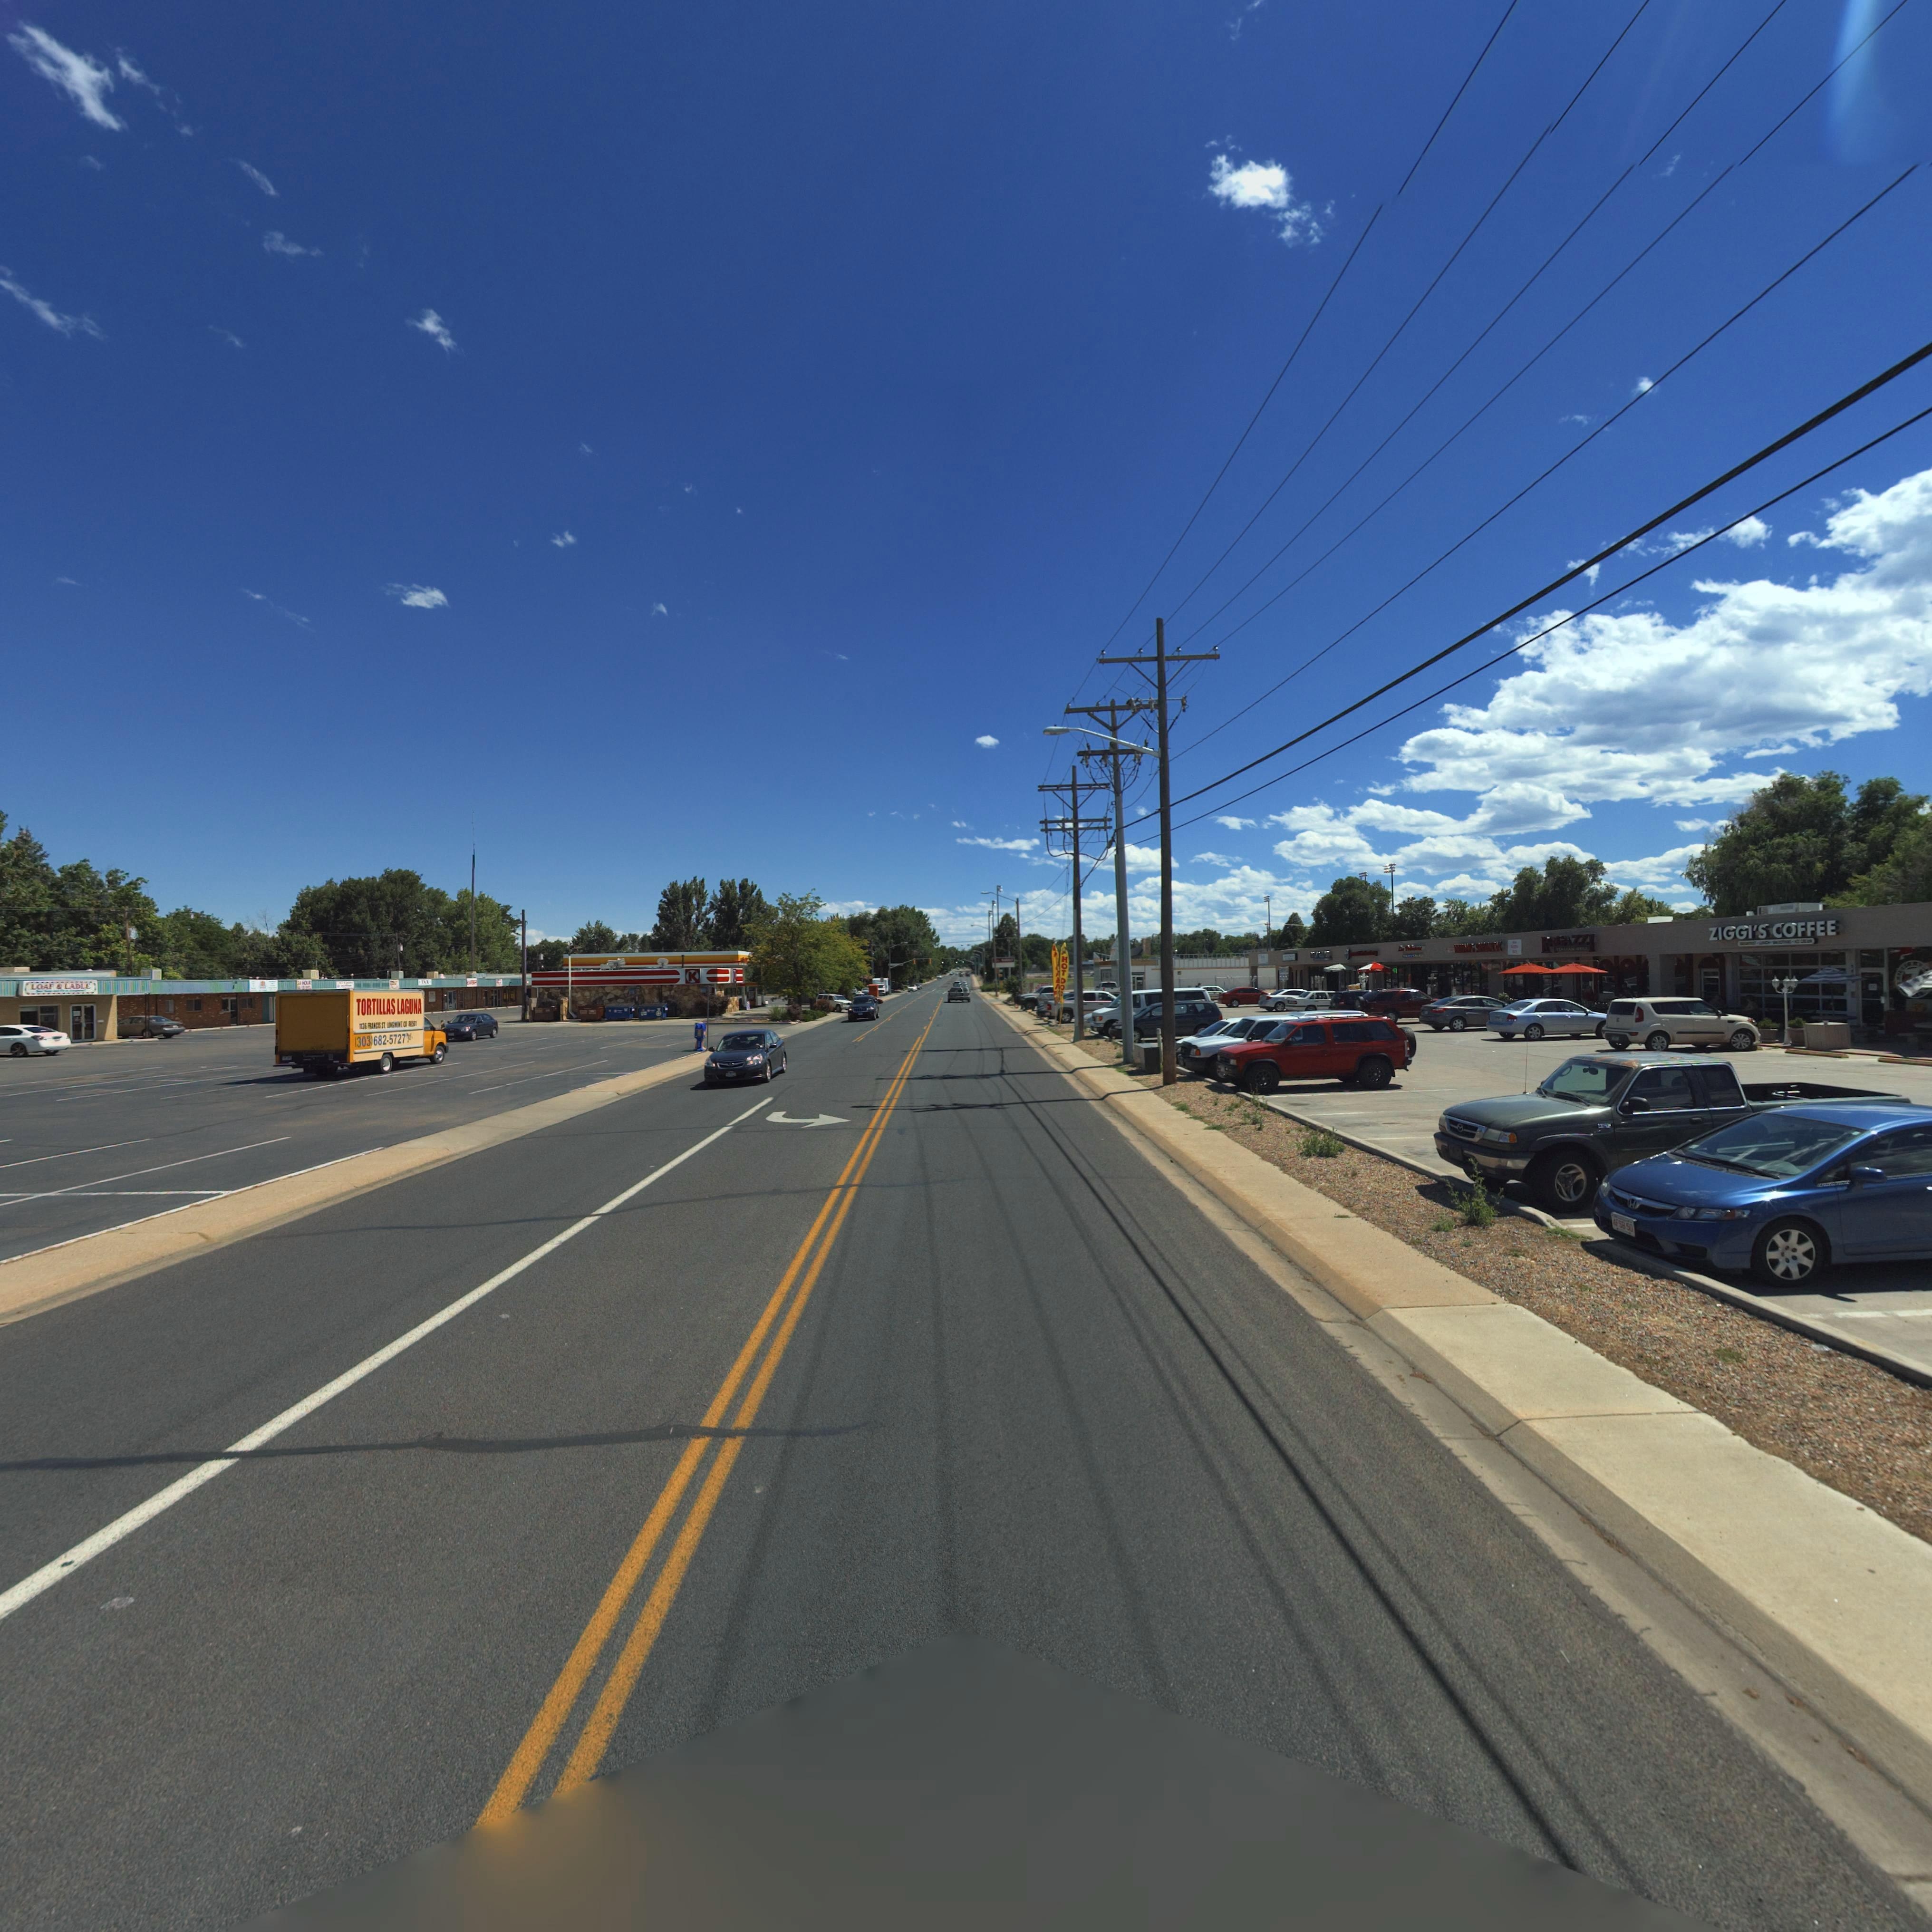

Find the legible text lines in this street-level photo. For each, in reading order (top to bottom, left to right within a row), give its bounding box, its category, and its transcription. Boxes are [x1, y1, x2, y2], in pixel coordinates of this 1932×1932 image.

[1708, 919, 1837, 941] BusinessName: *ZIGGI'S COFFEE
[1452, 940, 1504, 954] BusinessName: WING SHACK
[1540, 933, 1596, 954] BusinessName: RAGAZZI
[31, 983, 91, 990] BusinessName: LOAF & LADLE